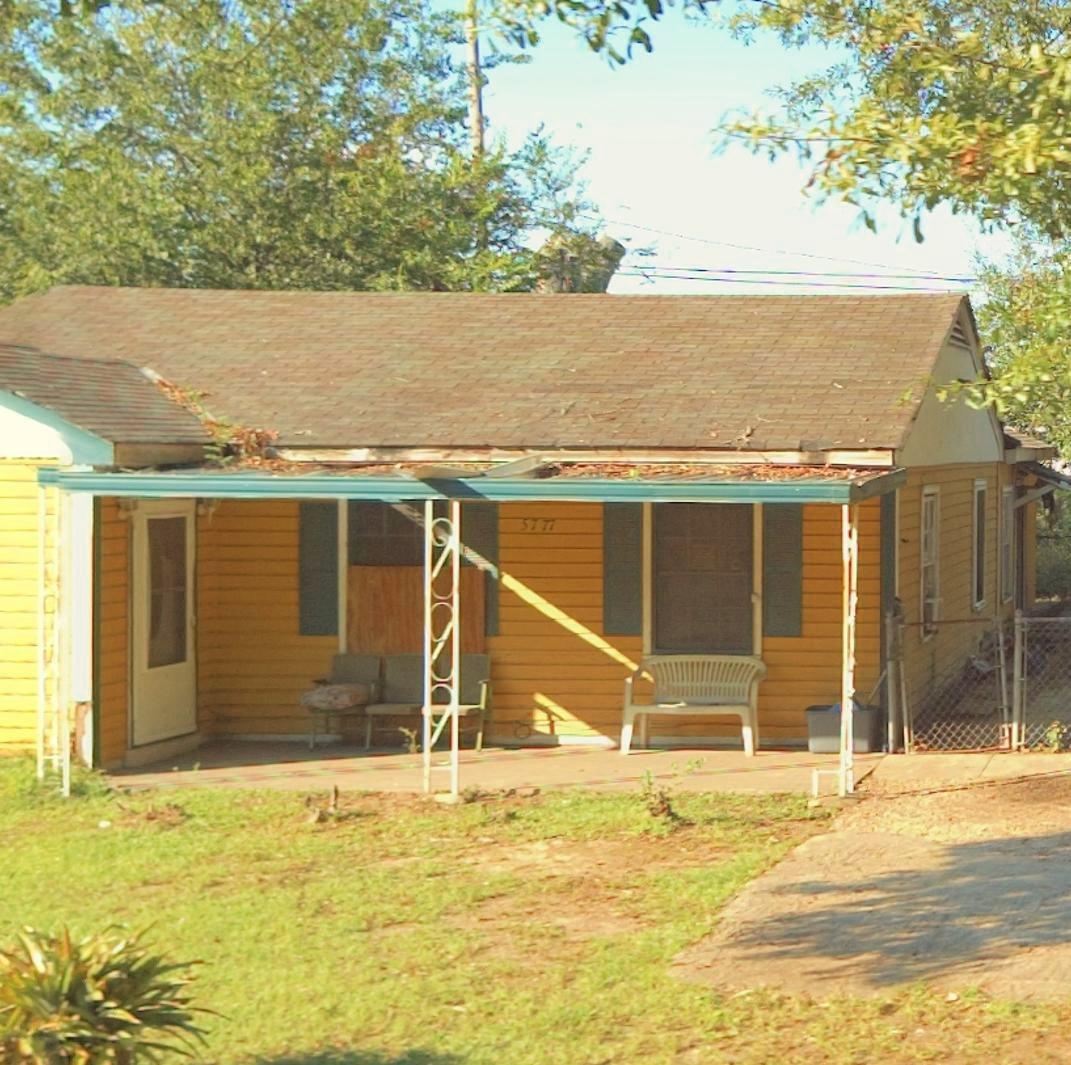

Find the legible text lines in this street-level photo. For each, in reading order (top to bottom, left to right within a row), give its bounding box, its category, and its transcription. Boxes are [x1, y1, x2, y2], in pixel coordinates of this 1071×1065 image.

[520, 518, 557, 532] StreetNumber: 5777